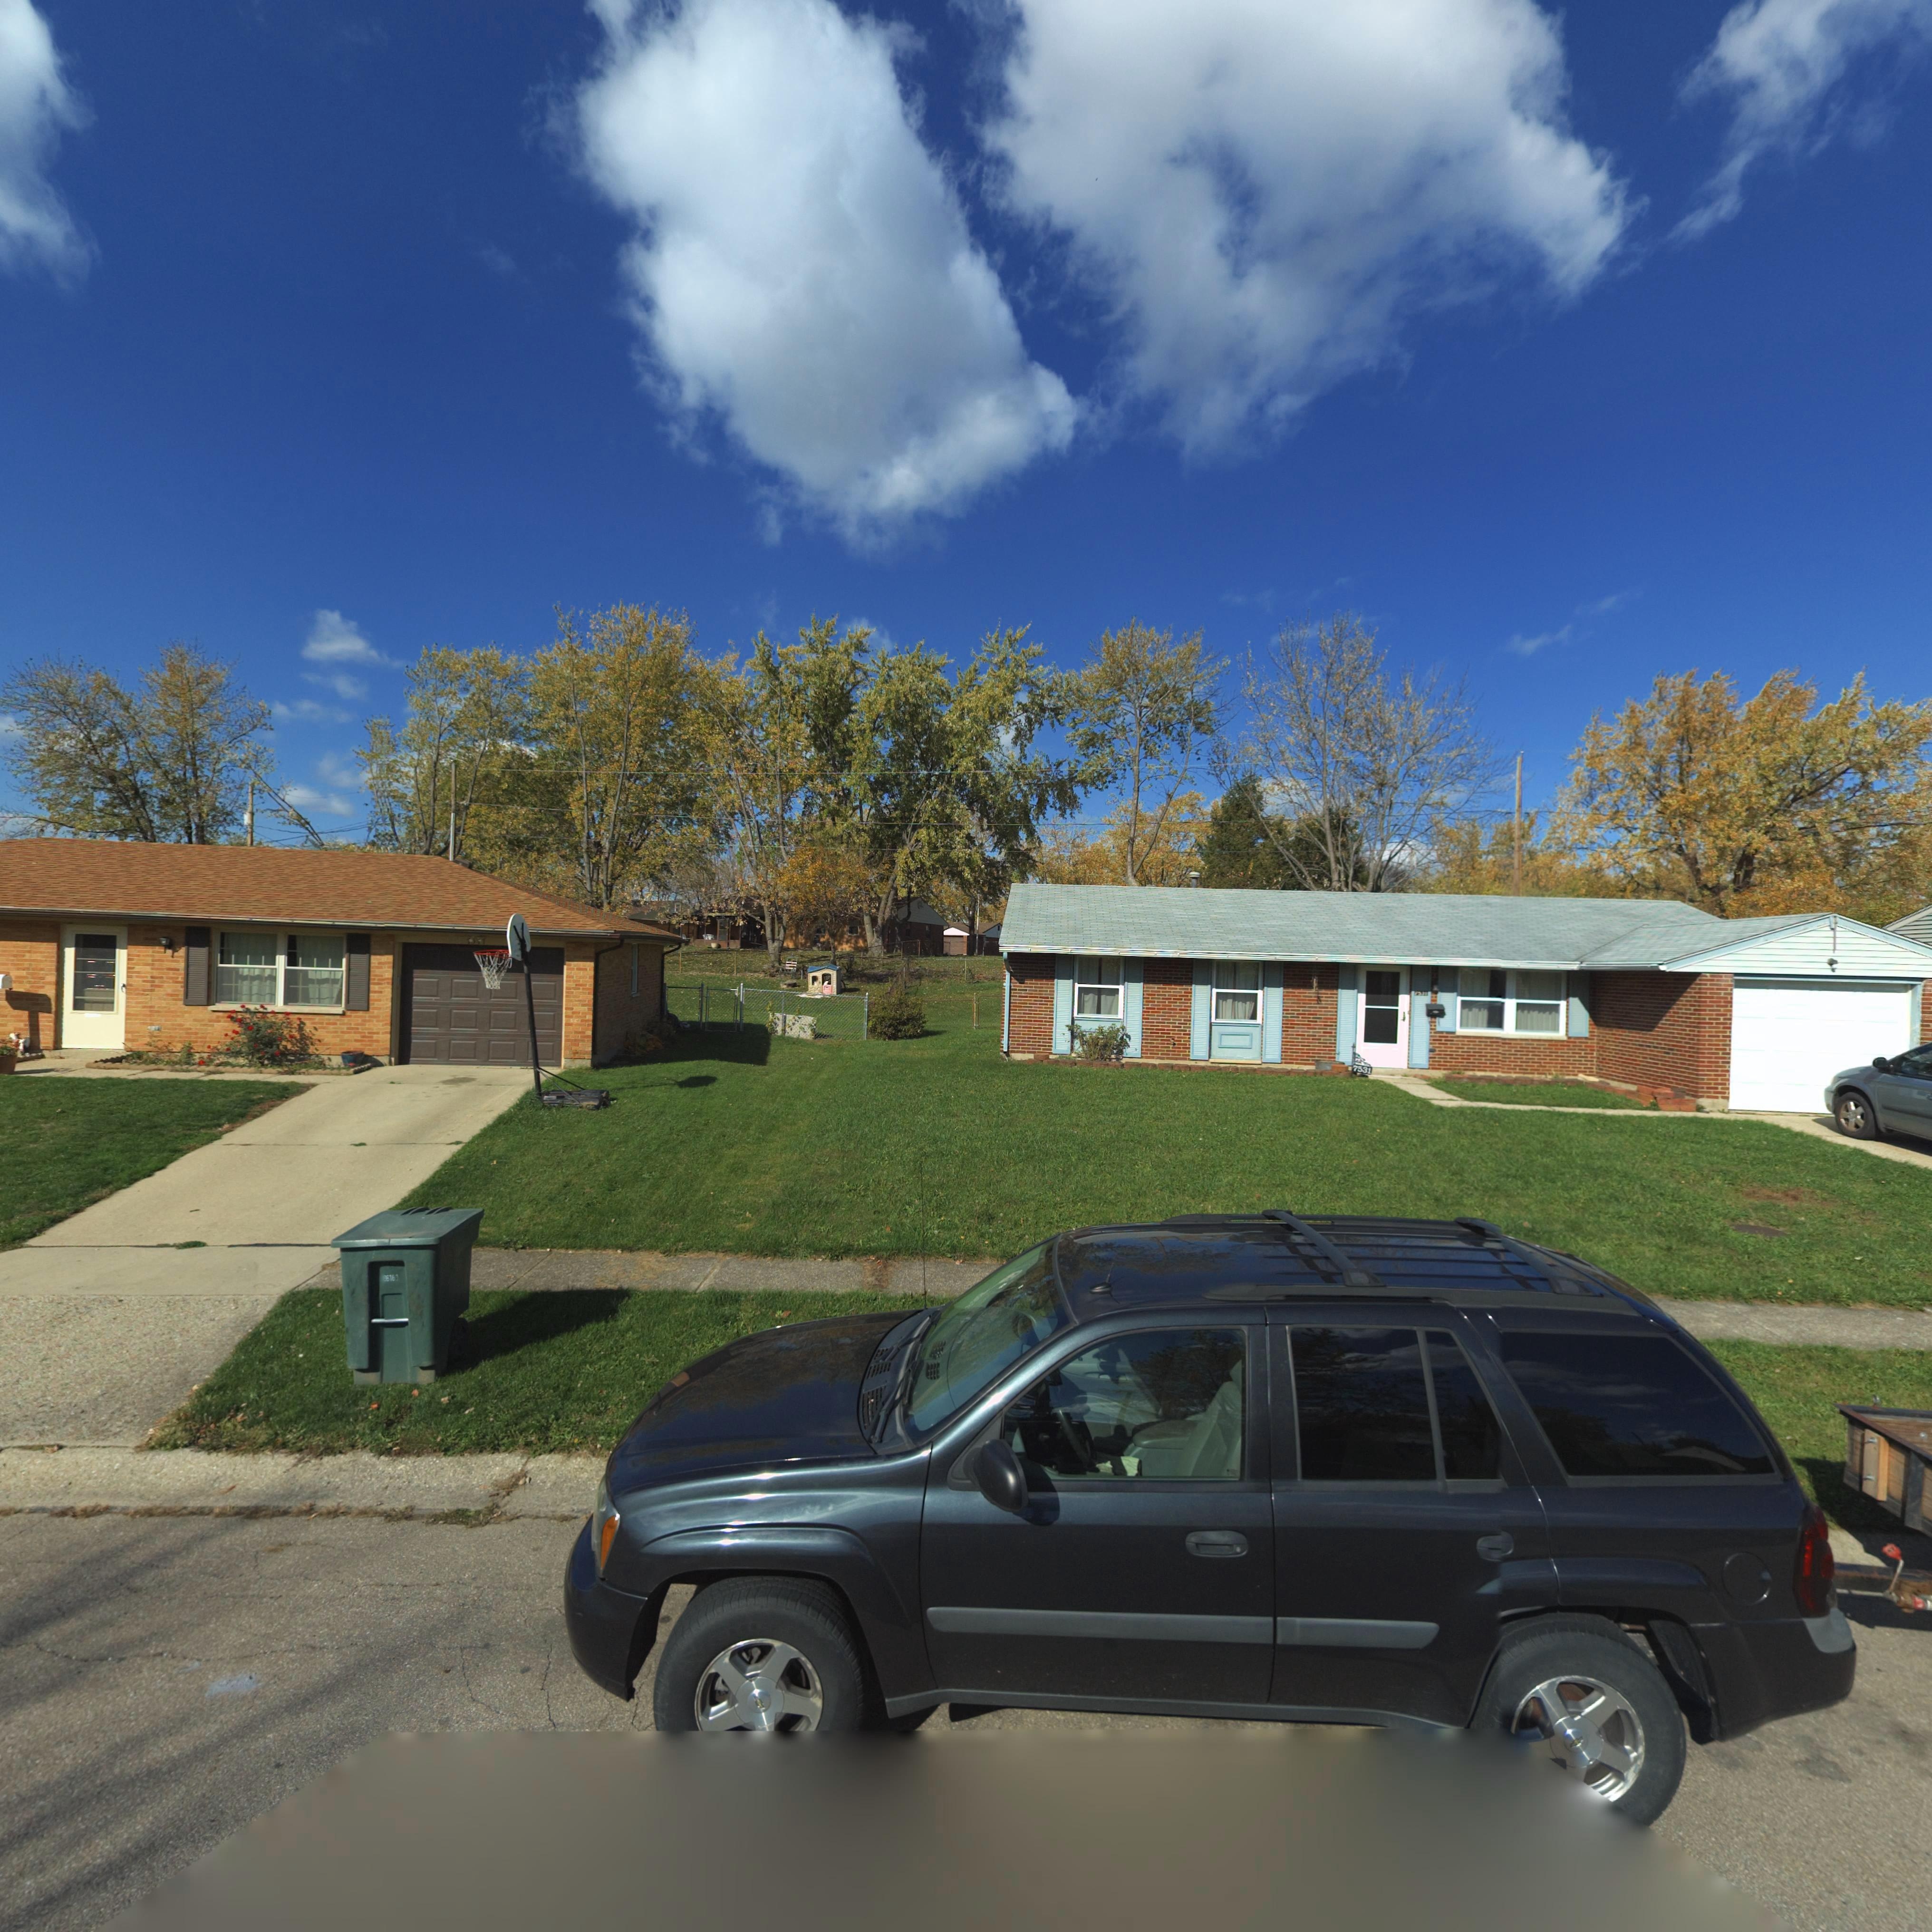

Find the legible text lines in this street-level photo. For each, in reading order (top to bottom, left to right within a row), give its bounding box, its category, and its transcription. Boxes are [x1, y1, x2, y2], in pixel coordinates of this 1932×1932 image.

[466, 937, 486, 945] StreetNumber: 7**7
[1414, 990, 1428, 996] StreetNumber: 75*1
[1352, 1064, 1372, 1075] StreetNumber: 7531